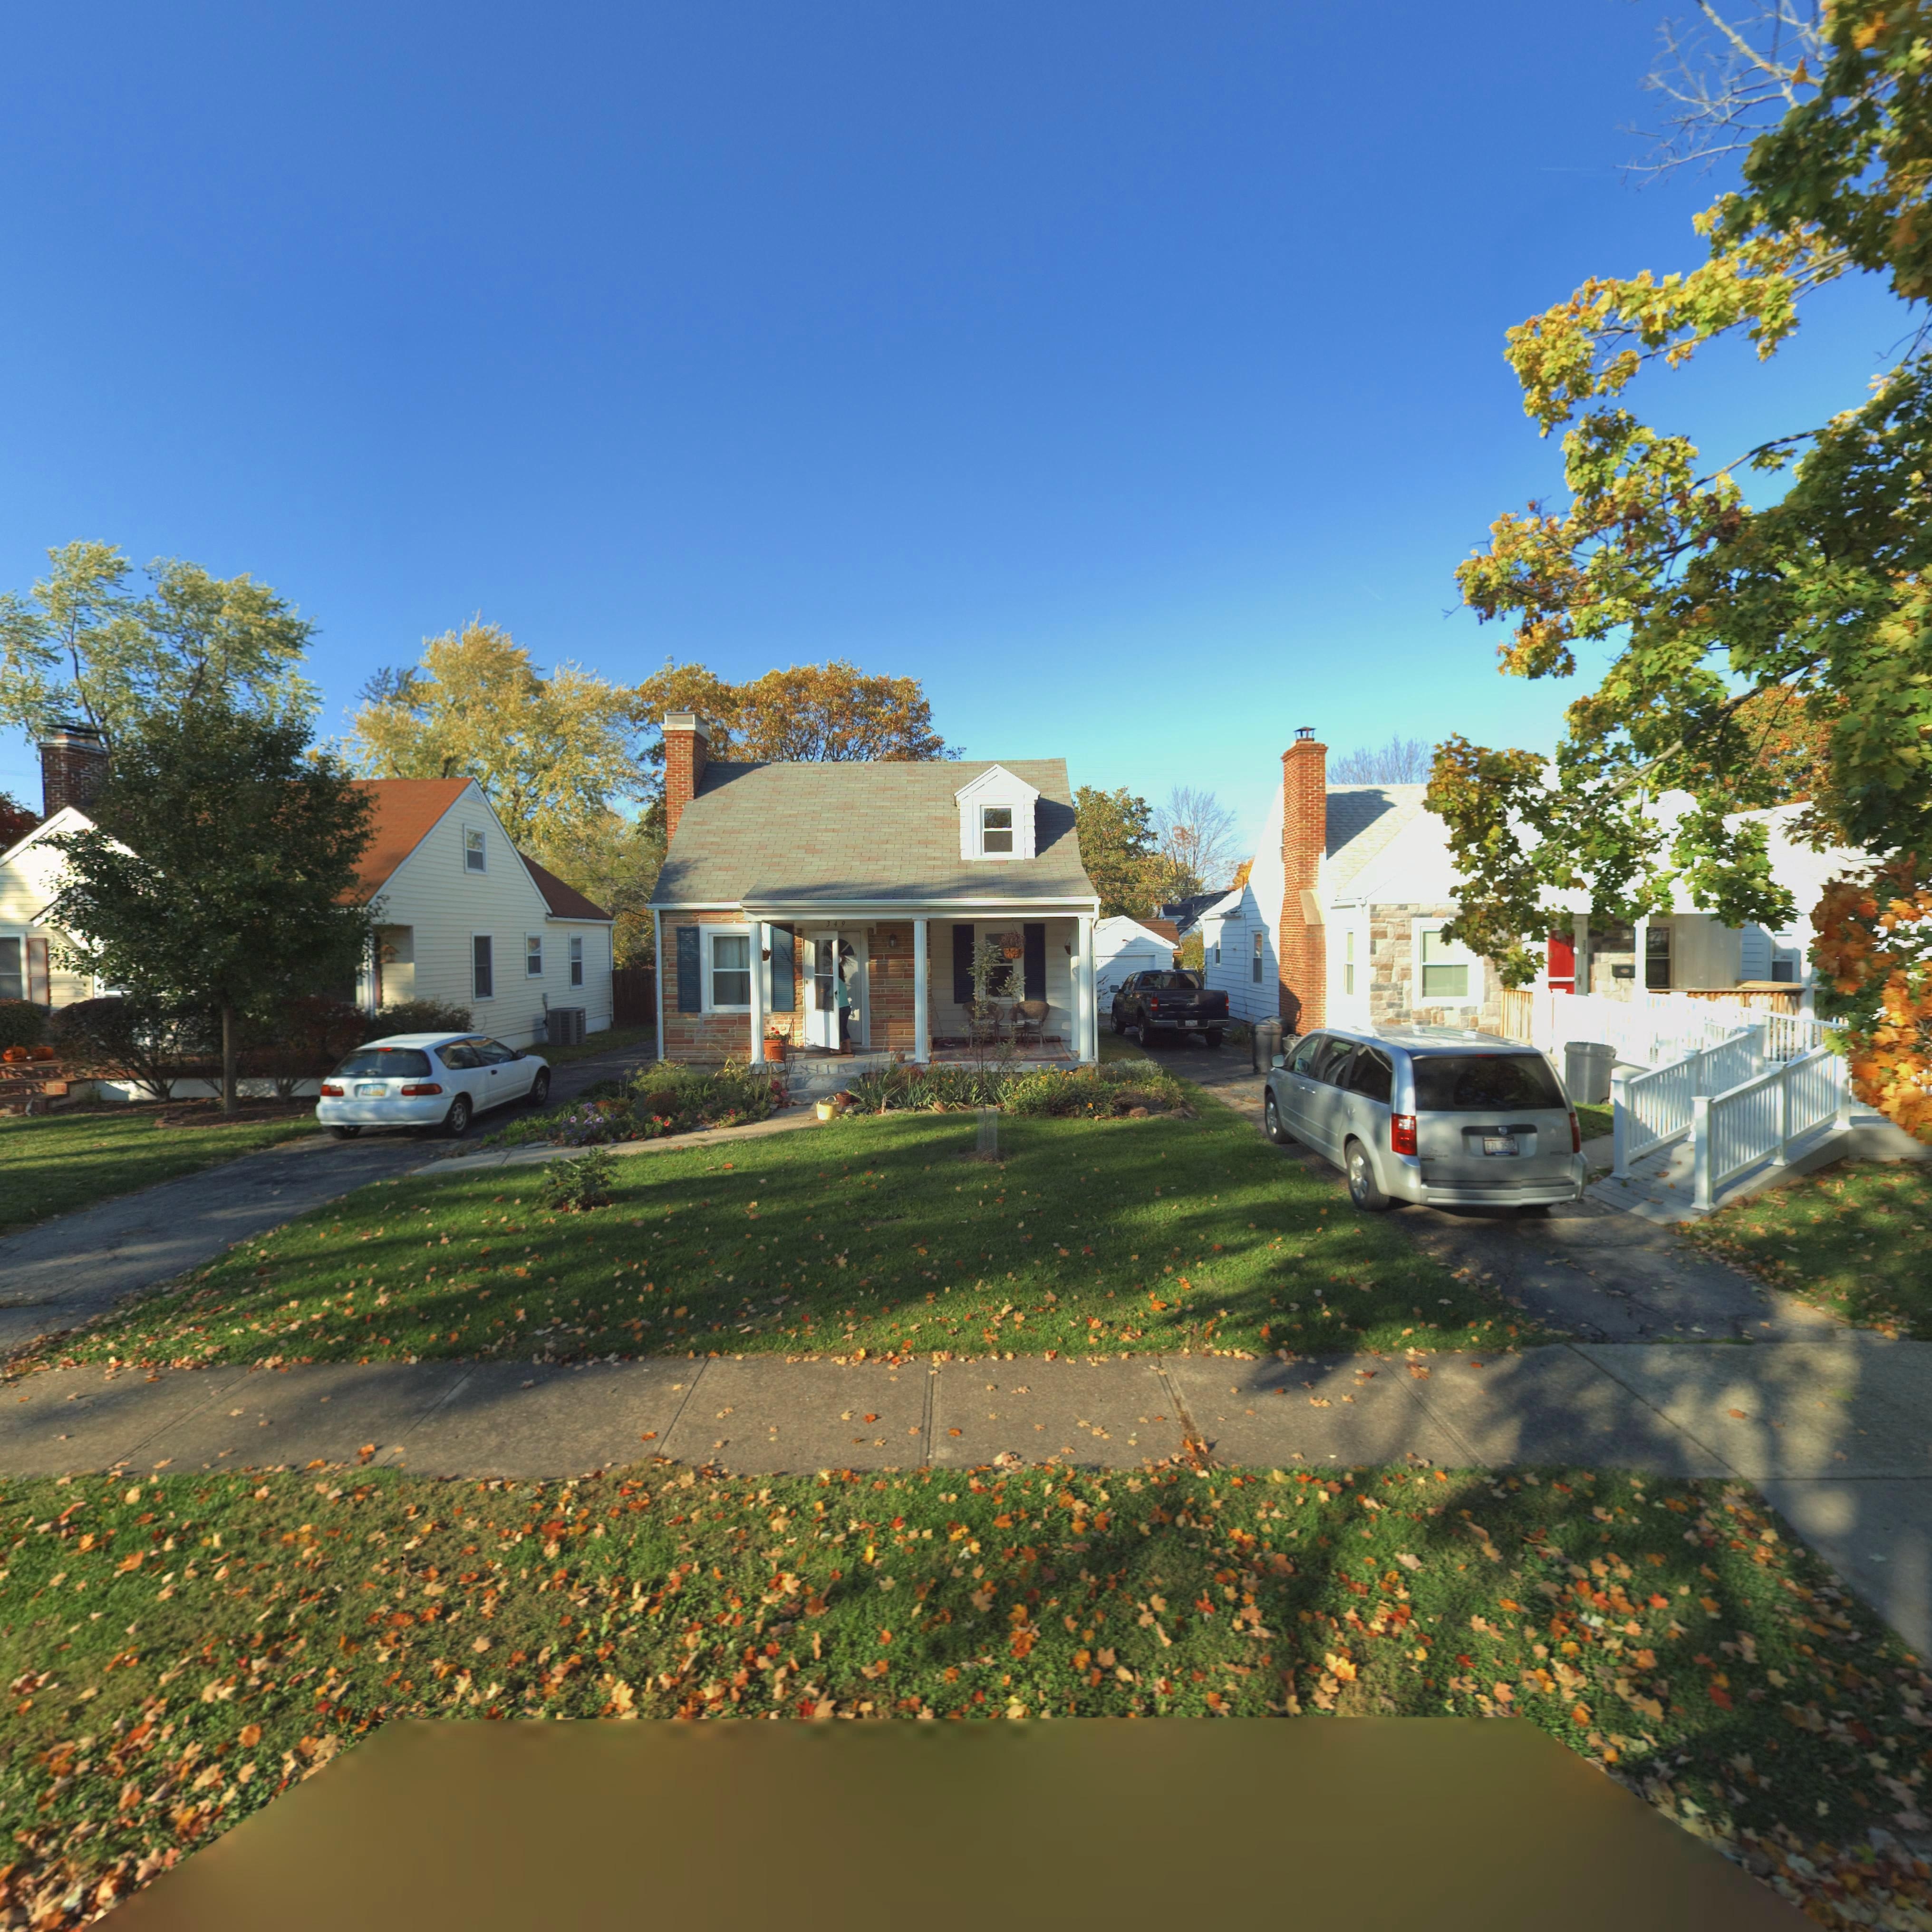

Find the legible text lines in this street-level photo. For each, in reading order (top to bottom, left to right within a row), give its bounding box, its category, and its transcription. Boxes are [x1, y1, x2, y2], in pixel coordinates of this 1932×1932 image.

[825, 920, 846, 927] StreetNumber: 349
[1582, 939, 1586, 955] StreetNumber: 353